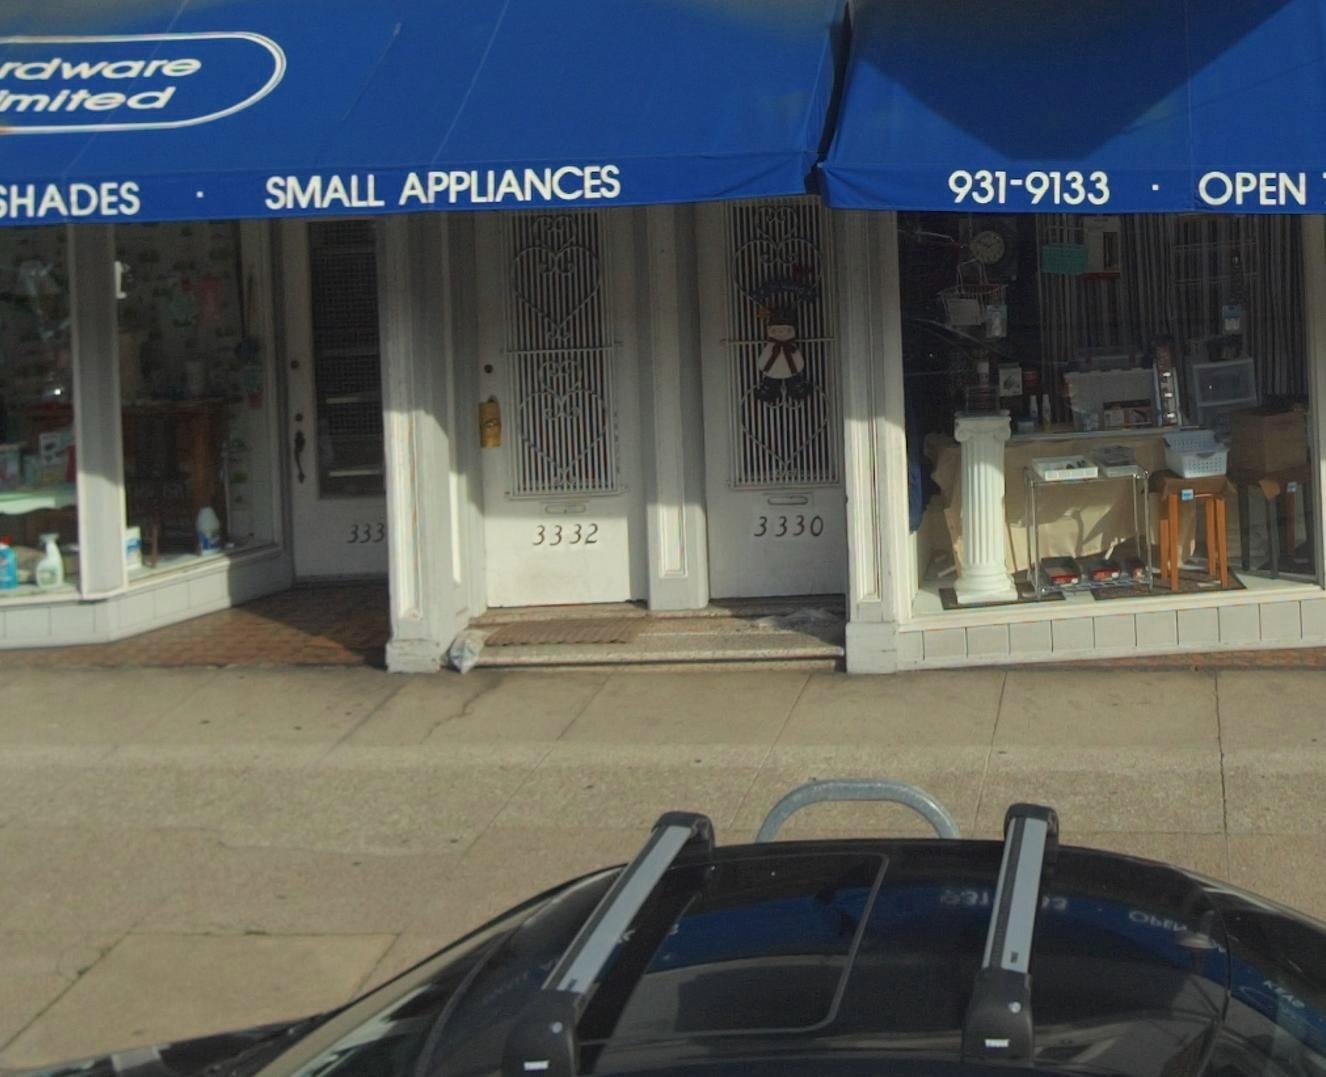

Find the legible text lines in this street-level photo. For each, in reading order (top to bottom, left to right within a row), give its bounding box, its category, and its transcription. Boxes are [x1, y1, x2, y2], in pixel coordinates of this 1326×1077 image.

[10, 54, 206, 83] BusinessName: dware
[0, 83, 183, 115] BusinessName: mlted
[6, 177, 143, 222] None: HADES
[260, 161, 626, 214] None: SMALL APPLIANCES
[945, 165, 1114, 209] None: 931-9133
[1193, 166, 1310, 210] None: OPEN
[342, 519, 388, 547] StreetNumber: 333
[529, 520, 600, 548] StreetNumber: 3332
[751, 513, 826, 539] StreetNumber: 3330
[1125, 905, 1177, 935] None: O**